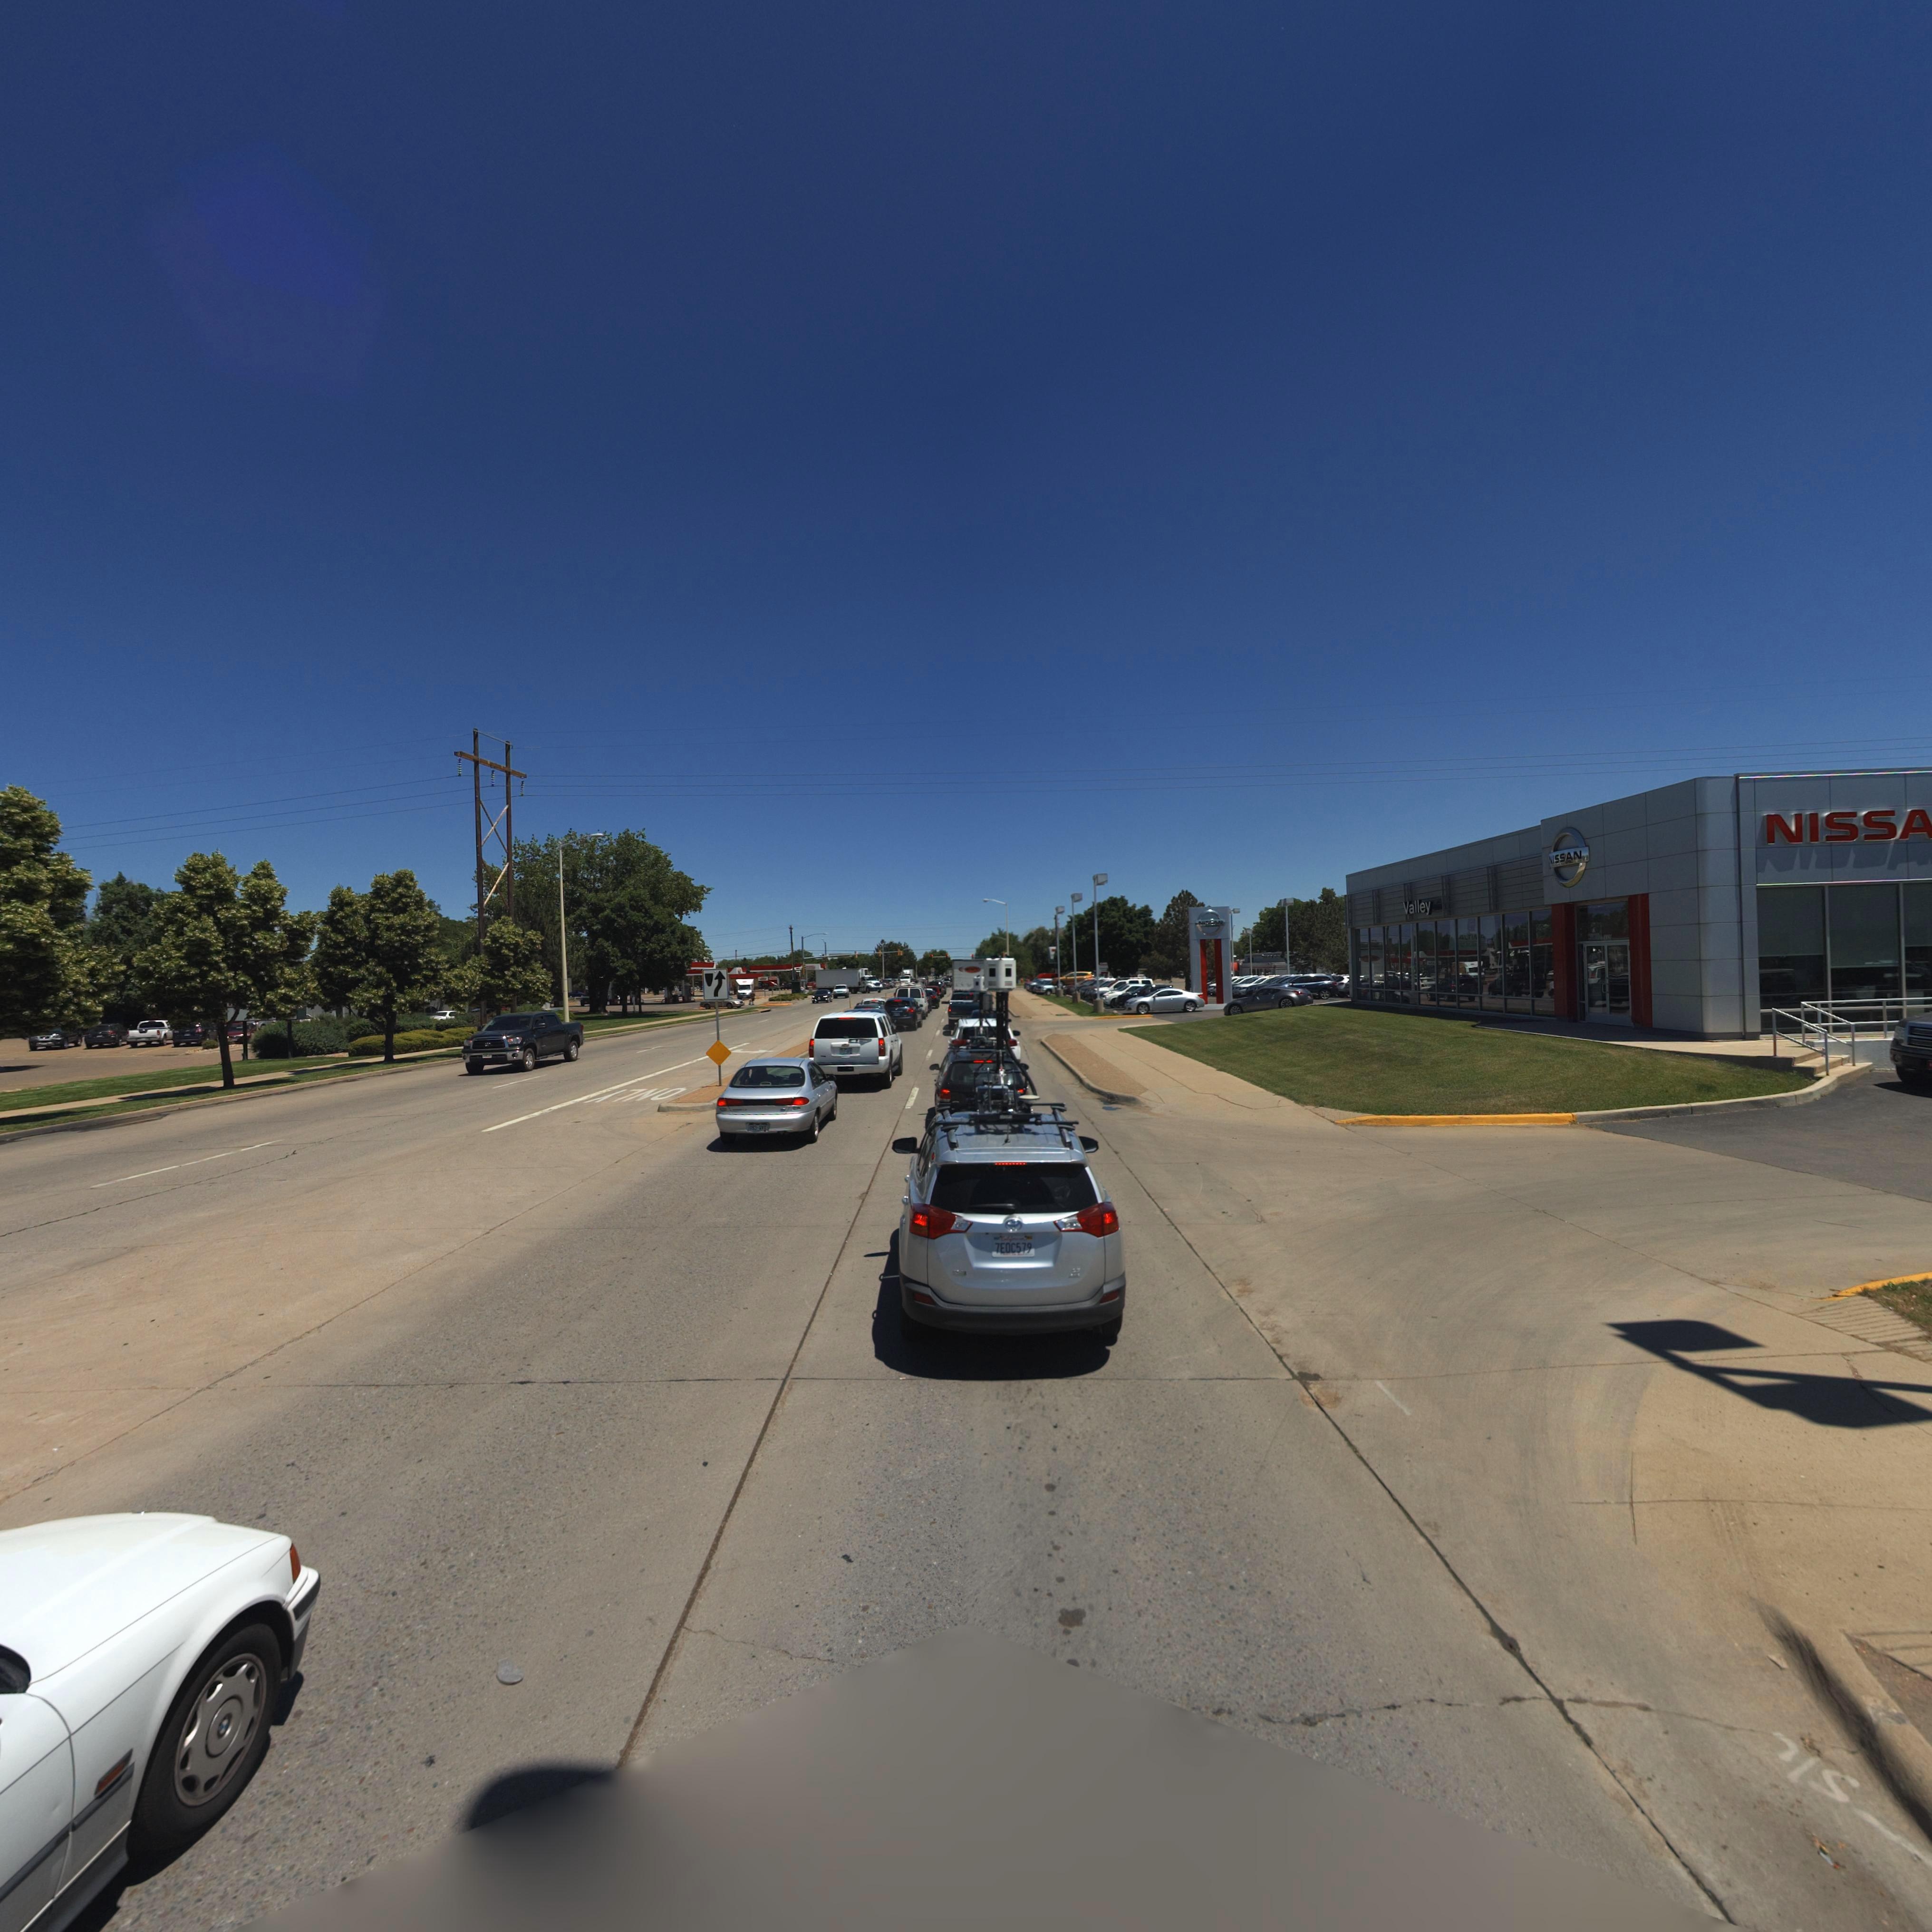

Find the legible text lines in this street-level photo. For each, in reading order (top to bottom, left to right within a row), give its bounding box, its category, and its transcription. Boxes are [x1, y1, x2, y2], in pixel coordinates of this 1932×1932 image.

[1765, 808, 1931, 845] BusinessName: NISSA
[1548, 850, 1582, 864] BusinessName: VISSAN
[1401, 898, 1431, 916] BusinessName: Valley
[1198, 920, 1223, 925] BusinessName: N****N